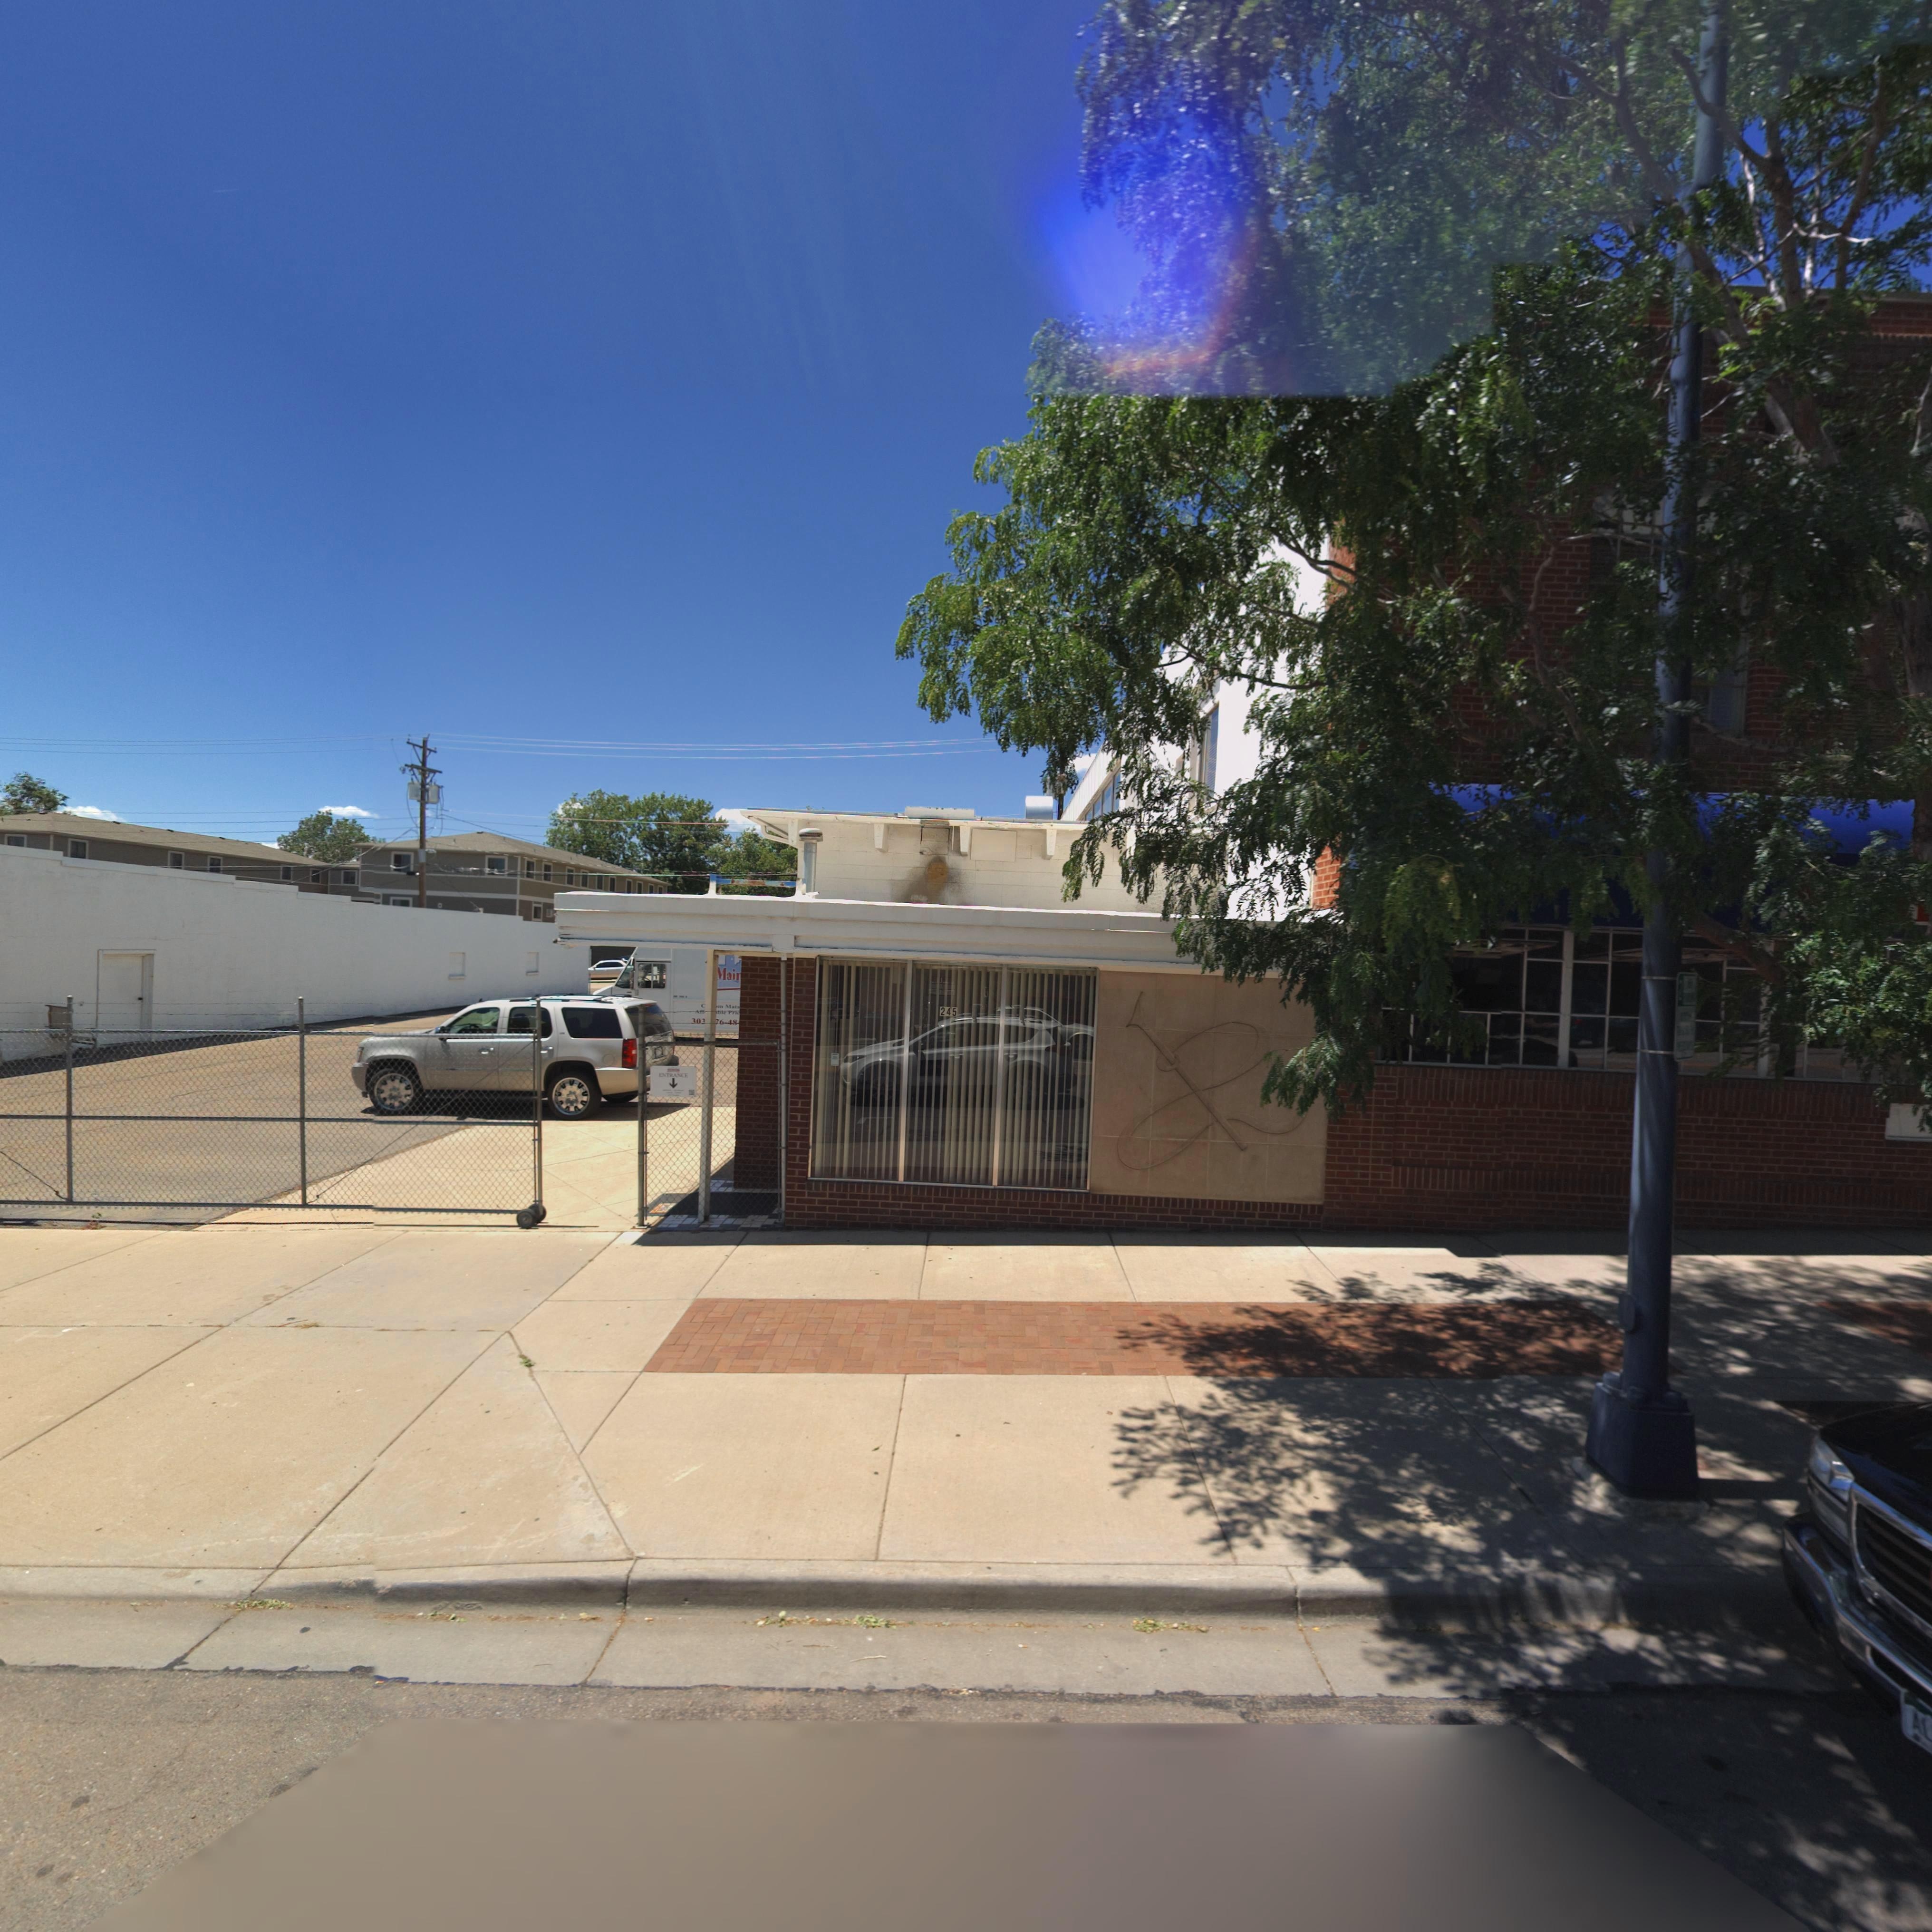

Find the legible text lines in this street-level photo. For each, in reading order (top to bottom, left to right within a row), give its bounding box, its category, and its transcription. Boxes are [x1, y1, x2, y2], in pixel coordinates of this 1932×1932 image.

[940, 1007, 958, 1016] StreetNumber: 245